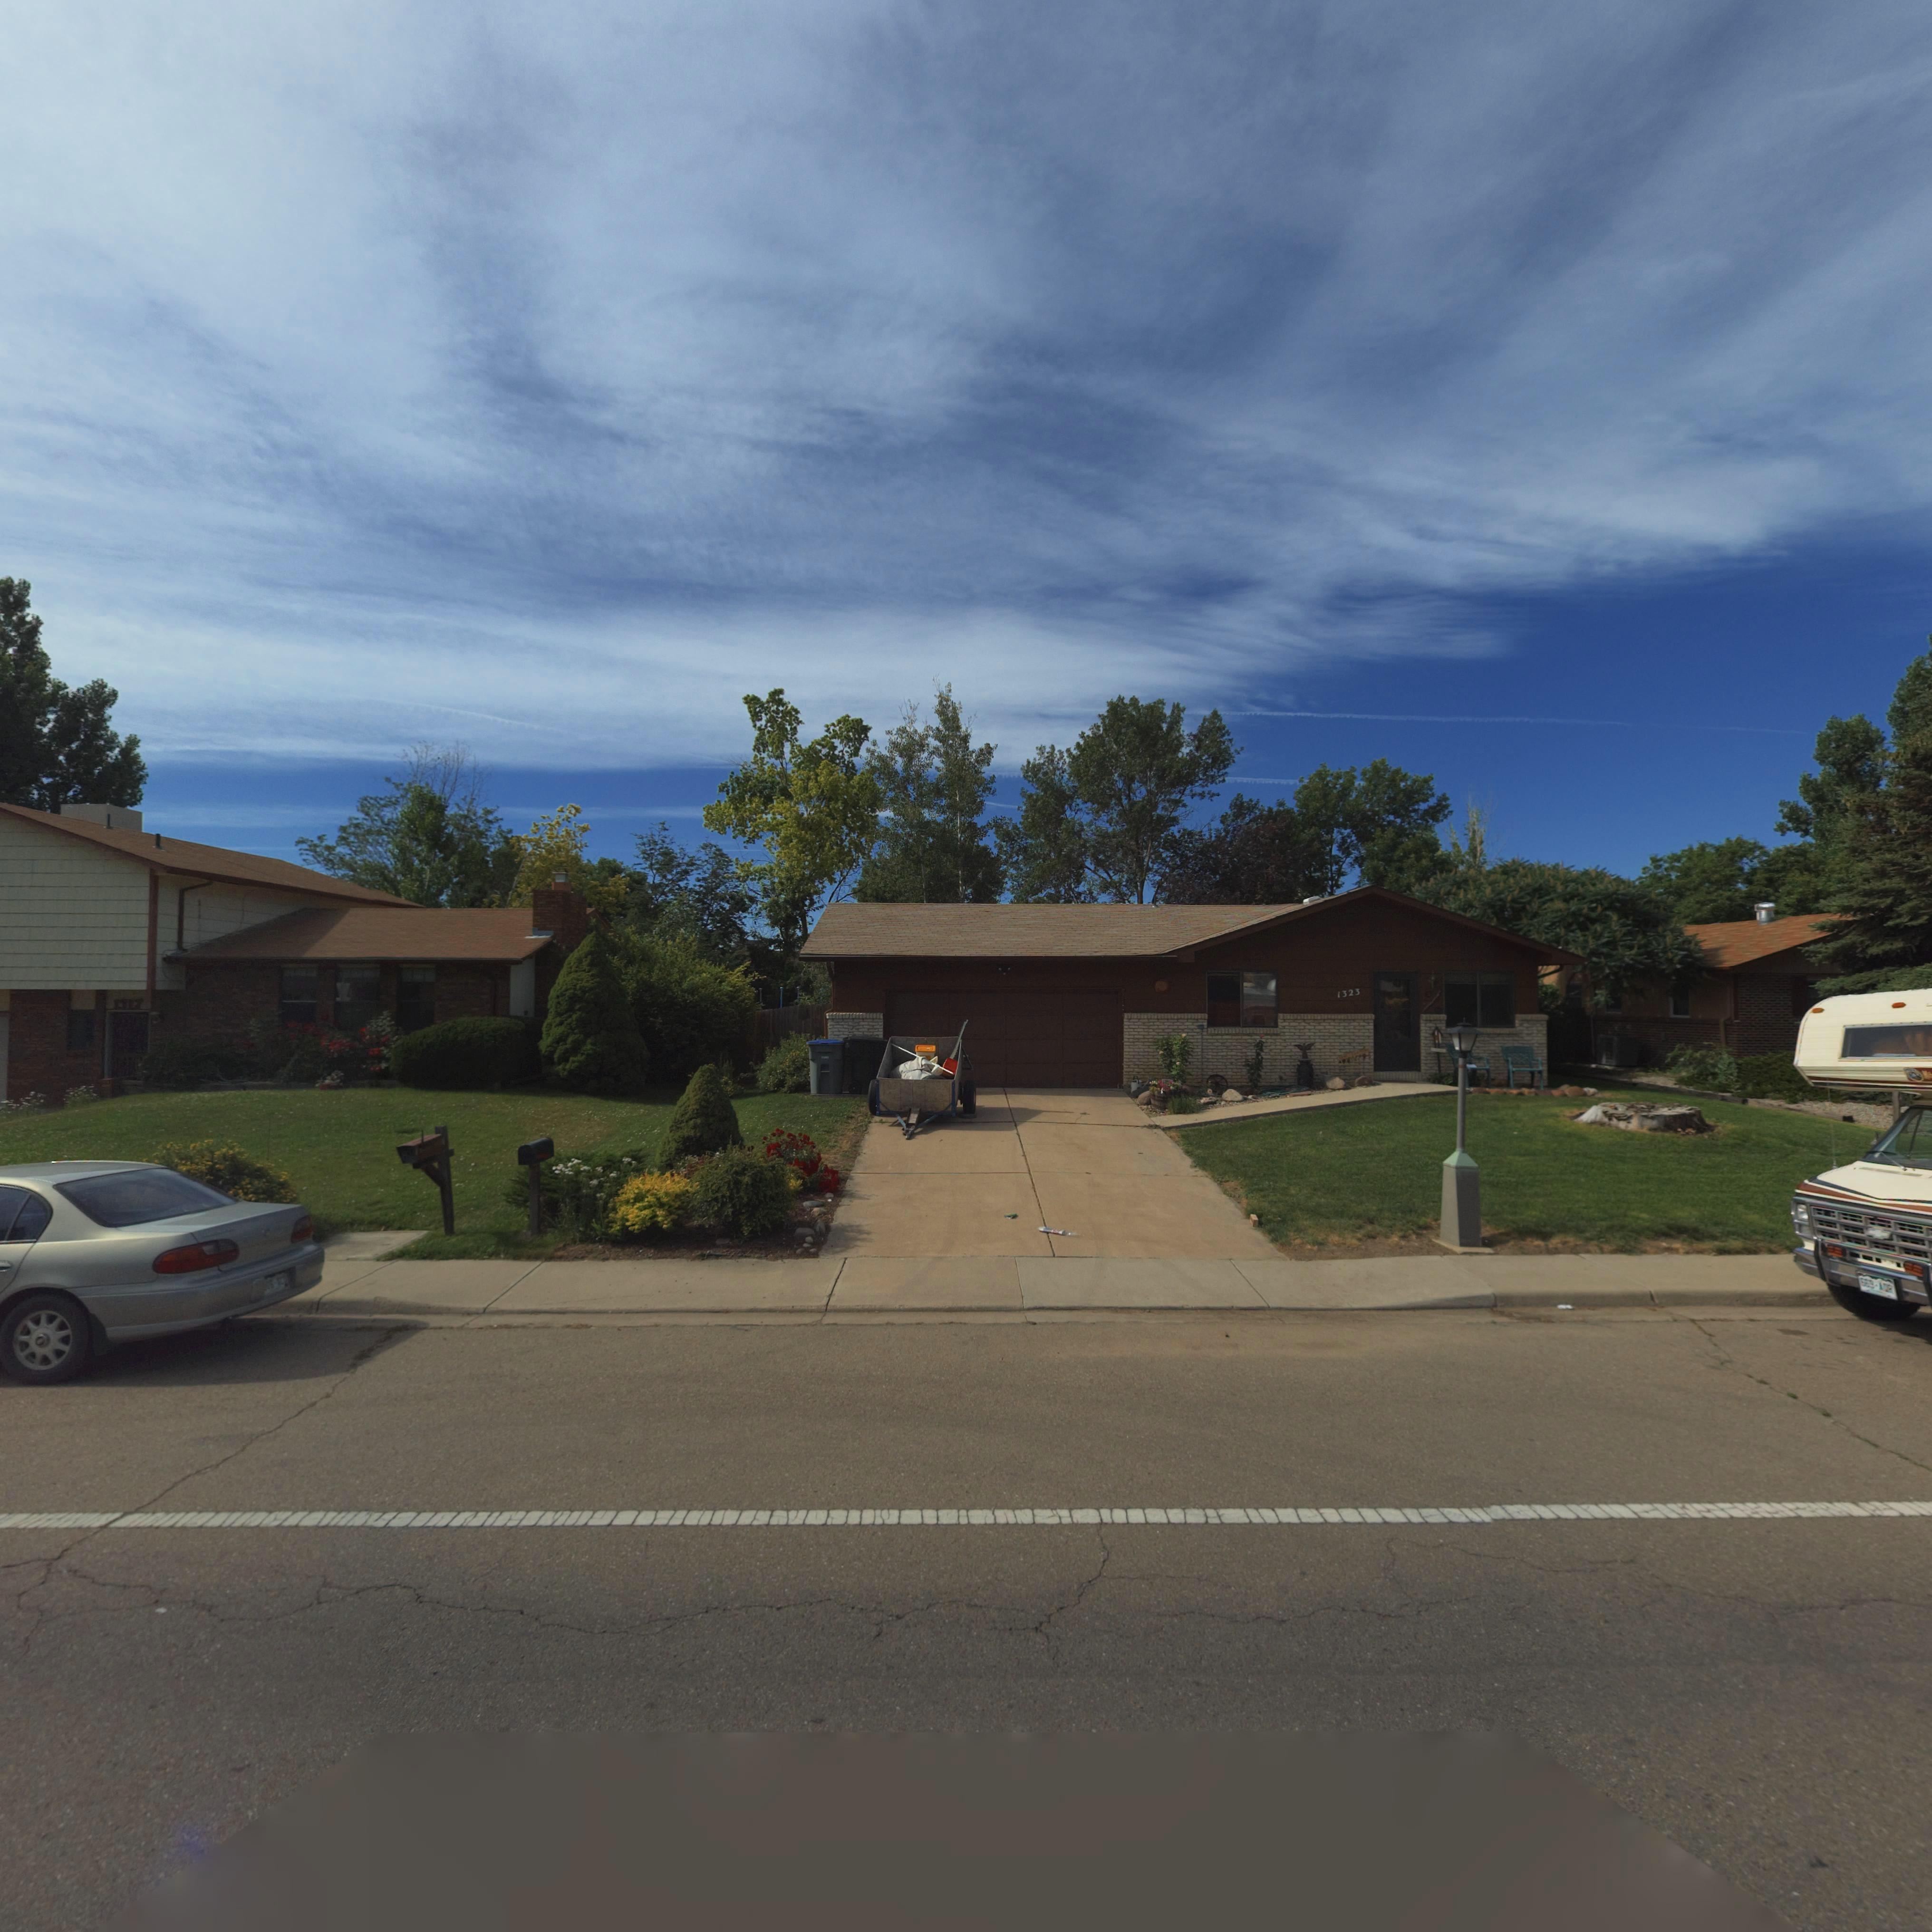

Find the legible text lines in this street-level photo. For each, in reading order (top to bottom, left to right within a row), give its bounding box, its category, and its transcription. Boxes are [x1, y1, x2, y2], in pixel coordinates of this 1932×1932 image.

[1337, 987, 1360, 999] StreetNumber: 1323
[111, 997, 144, 1010] StreetNumber: 1817